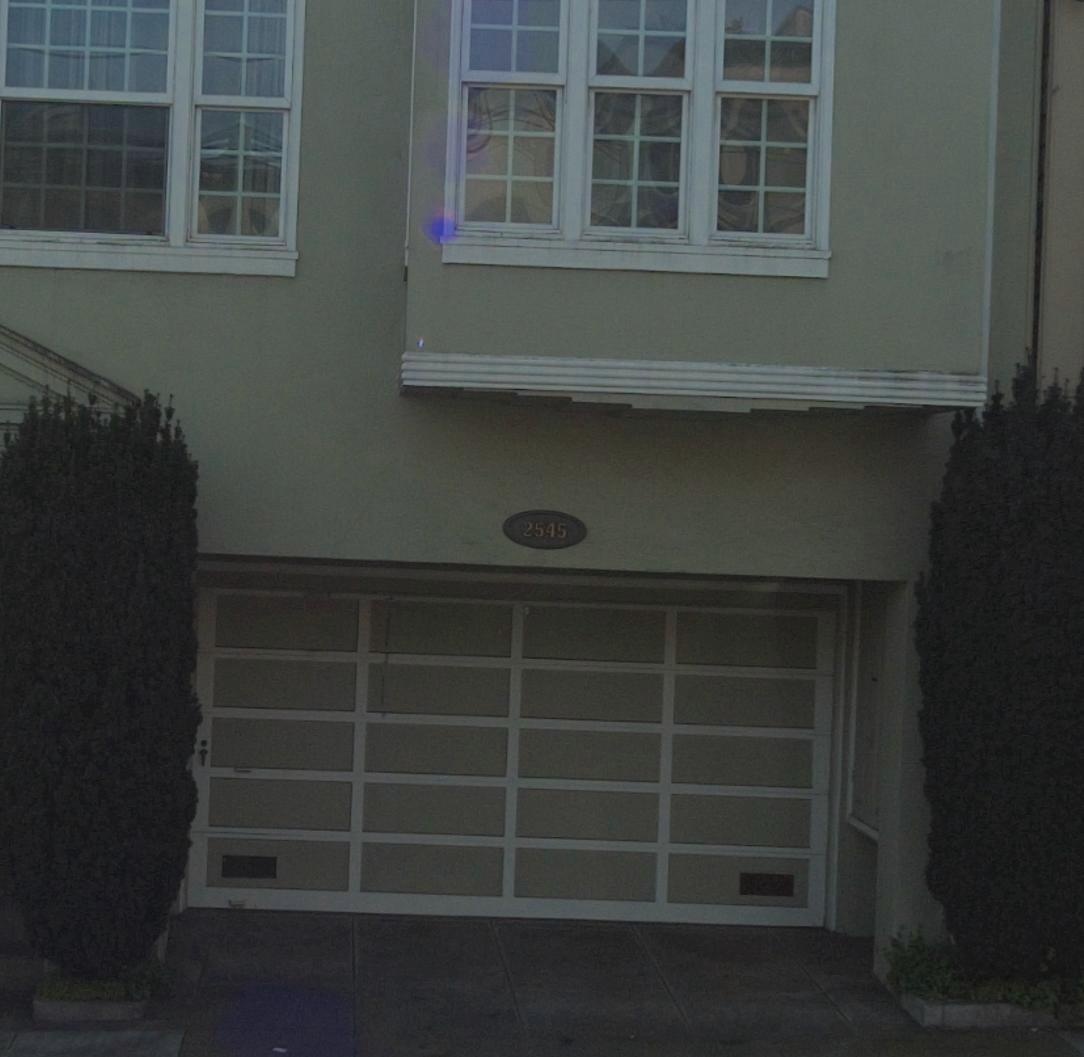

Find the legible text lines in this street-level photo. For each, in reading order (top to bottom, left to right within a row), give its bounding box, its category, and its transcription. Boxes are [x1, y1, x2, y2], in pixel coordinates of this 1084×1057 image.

[521, 519, 568, 541] StreetNumber: 2545